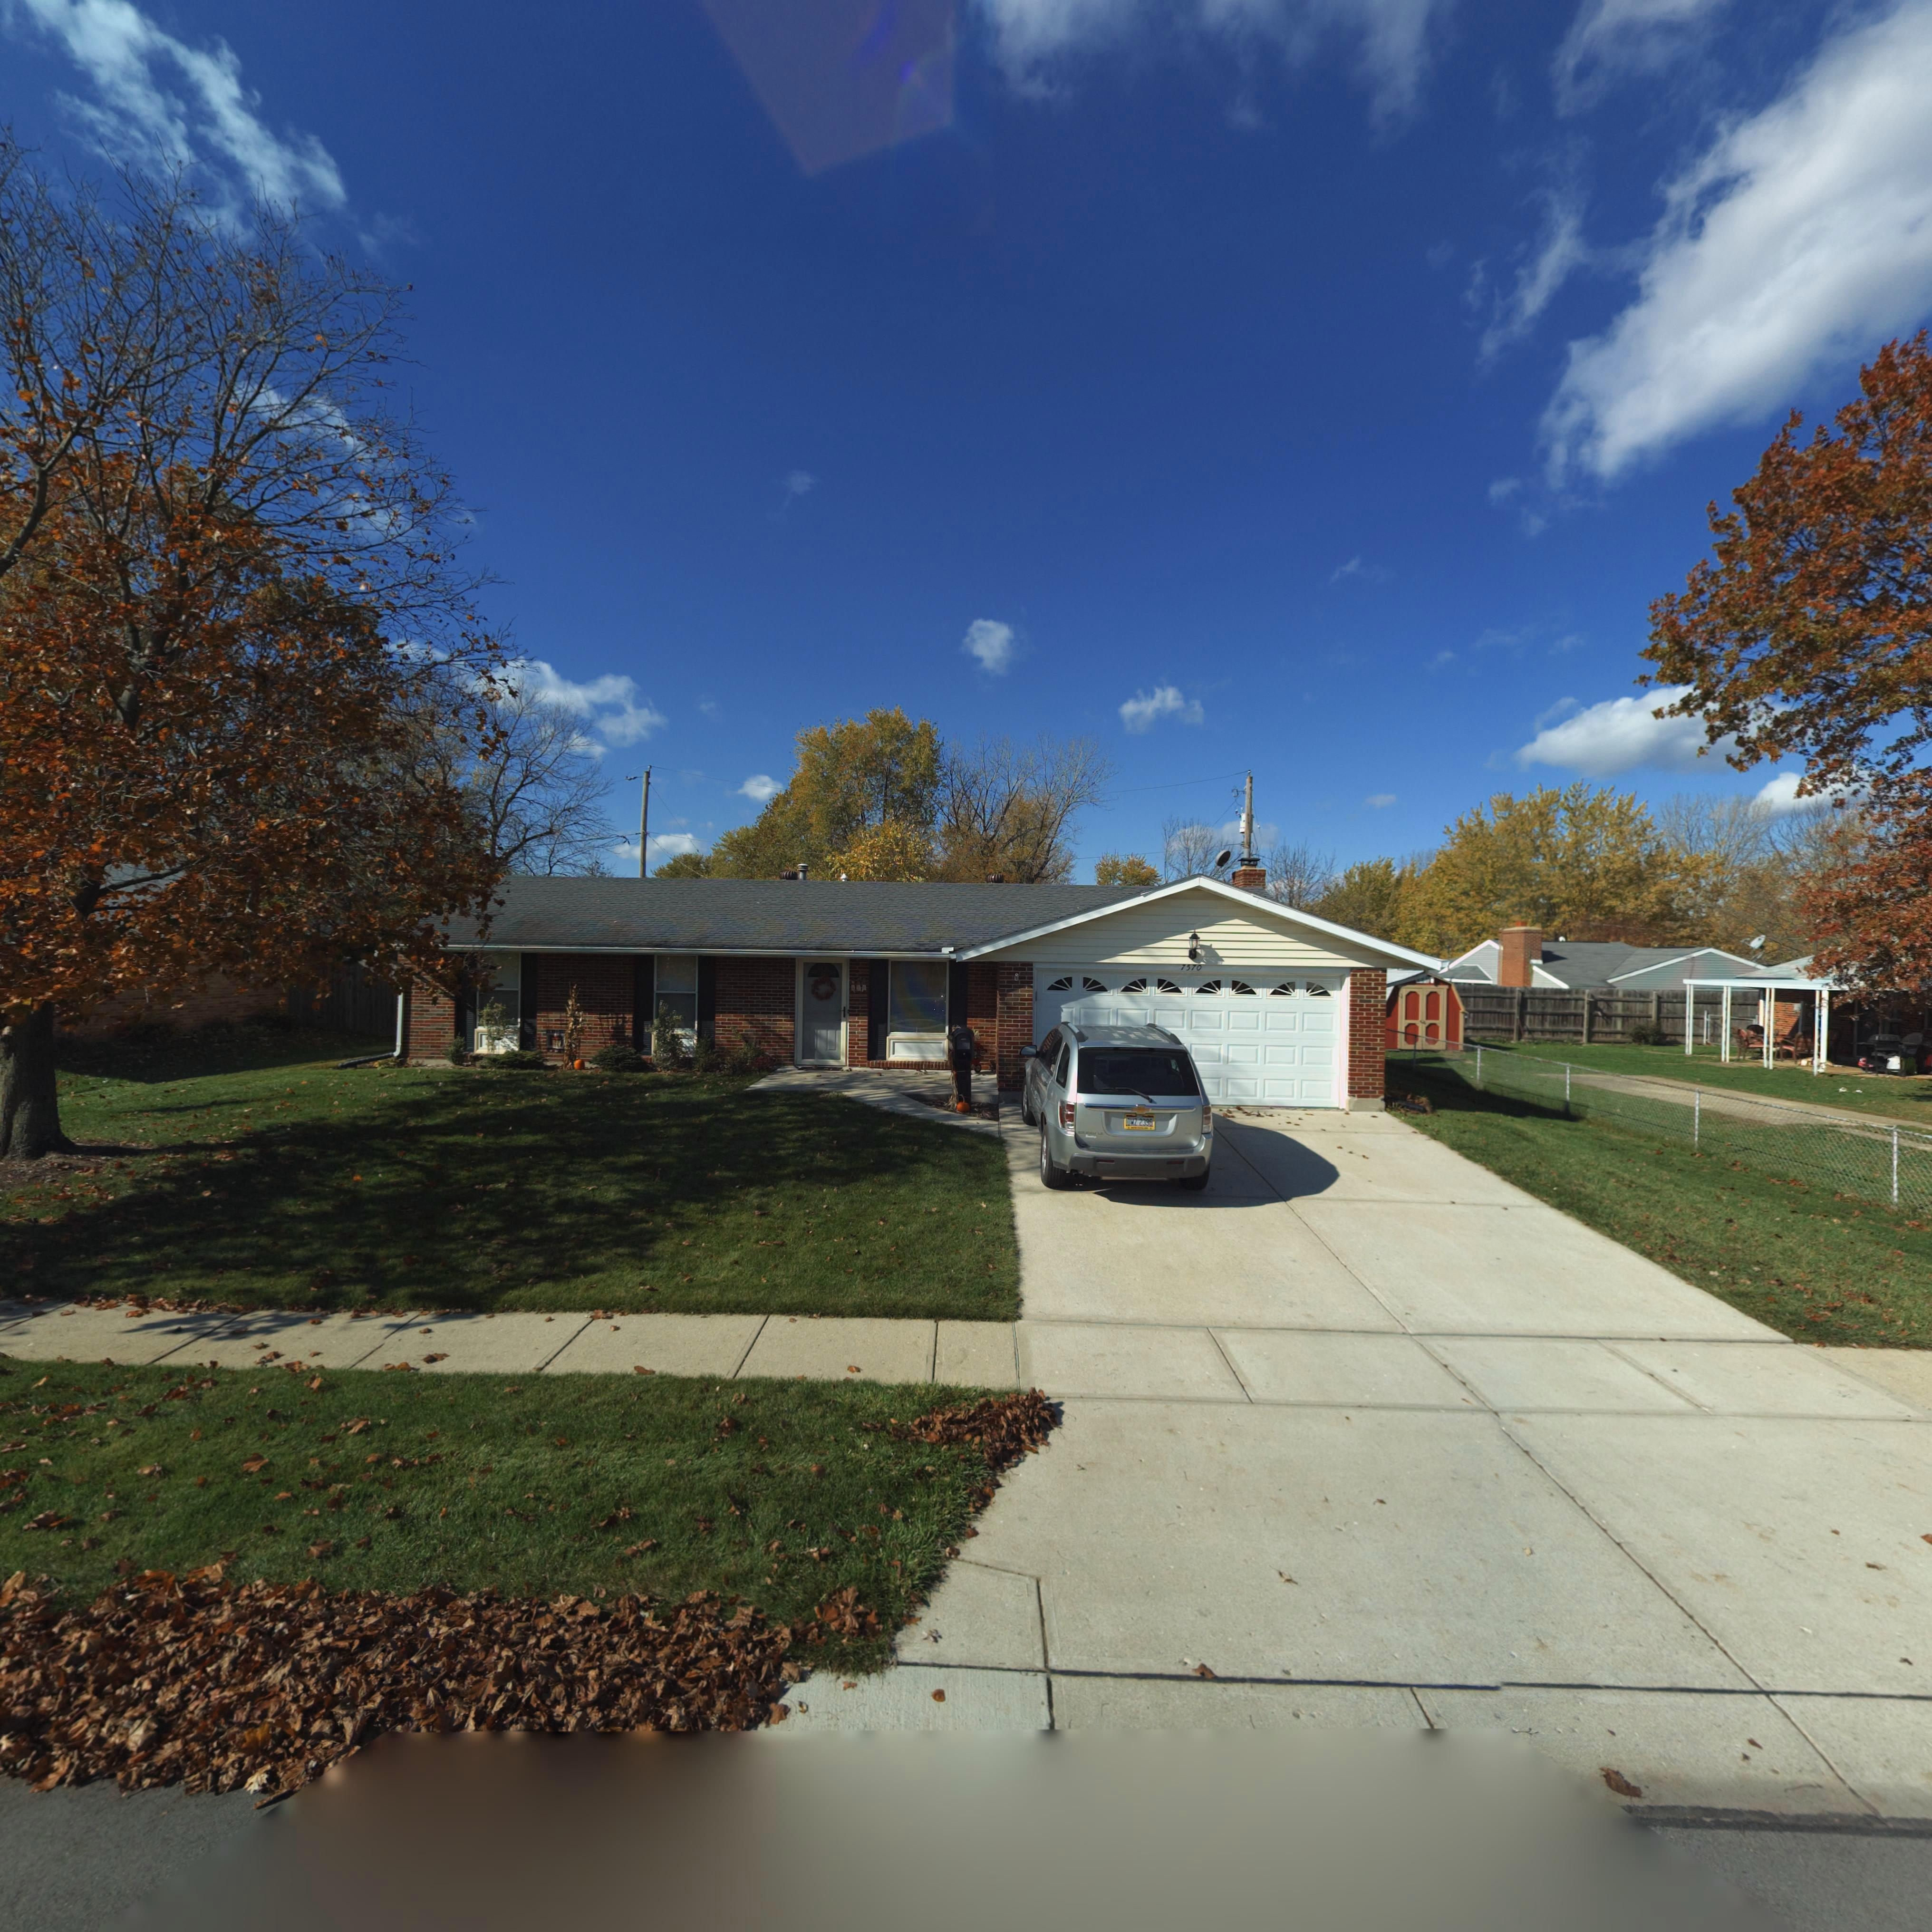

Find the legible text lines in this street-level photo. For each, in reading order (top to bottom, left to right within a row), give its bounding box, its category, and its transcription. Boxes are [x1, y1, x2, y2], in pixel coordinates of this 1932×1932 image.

[1179, 963, 1203, 972] StreetNumber: 7570